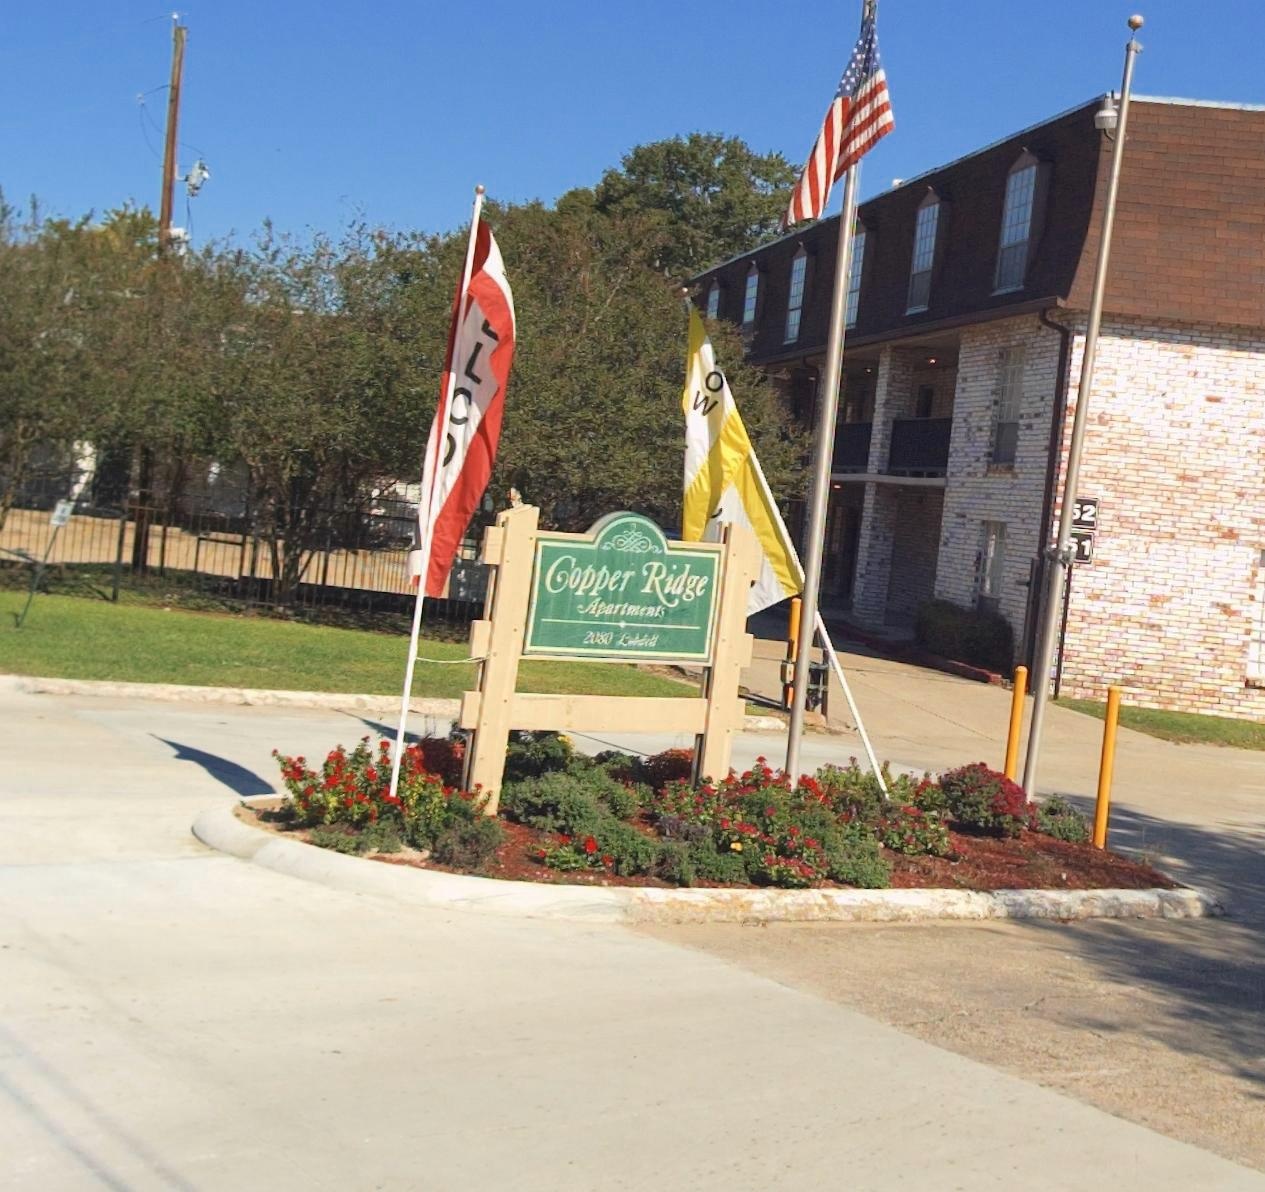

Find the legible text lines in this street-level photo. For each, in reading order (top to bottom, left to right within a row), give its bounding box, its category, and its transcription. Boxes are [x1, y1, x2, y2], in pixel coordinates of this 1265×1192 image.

[461, 337, 487, 389] None: L
[690, 367, 727, 421] None: OW
[1079, 502, 1098, 523] StreetNumber: 2
[1078, 536, 1093, 559] StreetNumber: 1
[541, 552, 713, 604] BusinessName: Copper Ridge
[581, 594, 670, 620] BusinessName: Apartm*nt*
[578, 627, 618, 649] StreetNumber: 2080